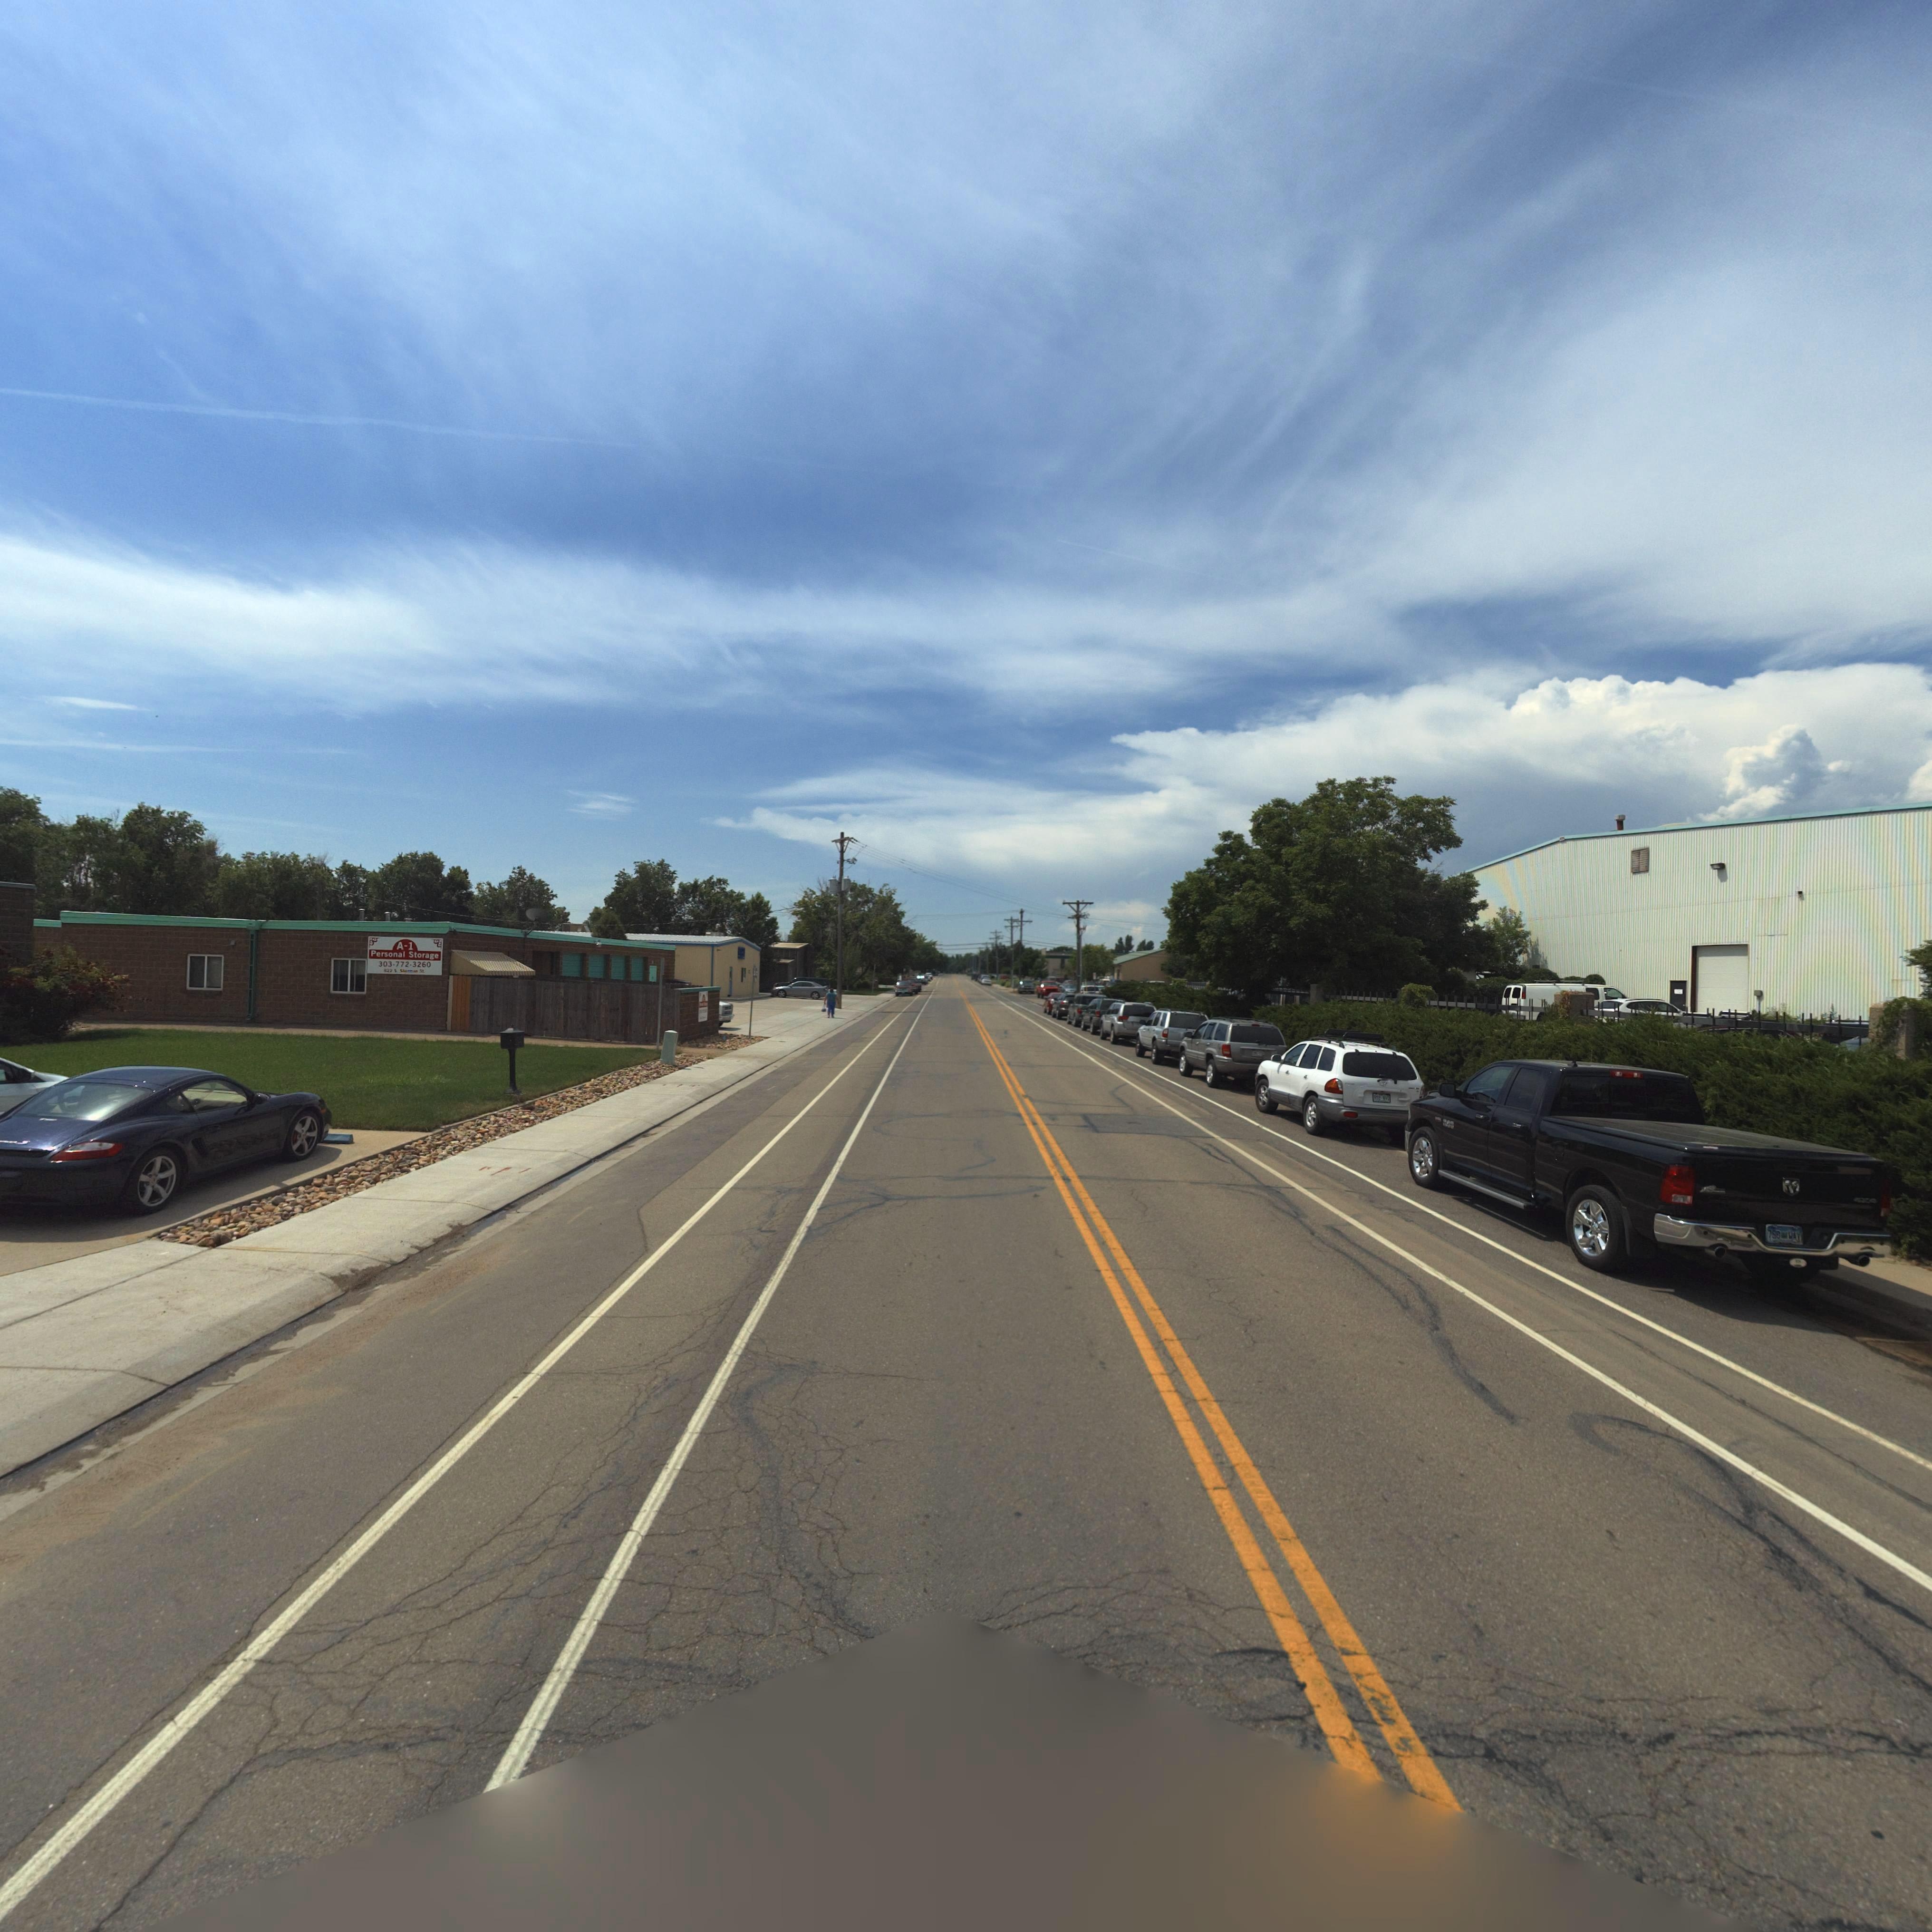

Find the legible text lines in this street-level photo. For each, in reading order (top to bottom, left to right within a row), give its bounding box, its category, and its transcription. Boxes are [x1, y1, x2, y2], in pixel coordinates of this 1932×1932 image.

[396, 941, 413, 950] BusinessName: A-1
[370, 950, 439, 960] BusinessName: Personal Storage
[383, 968, 393, 973] StreetNumber: *22
[394, 968, 425, 973] StreetName: S. Sherman St.